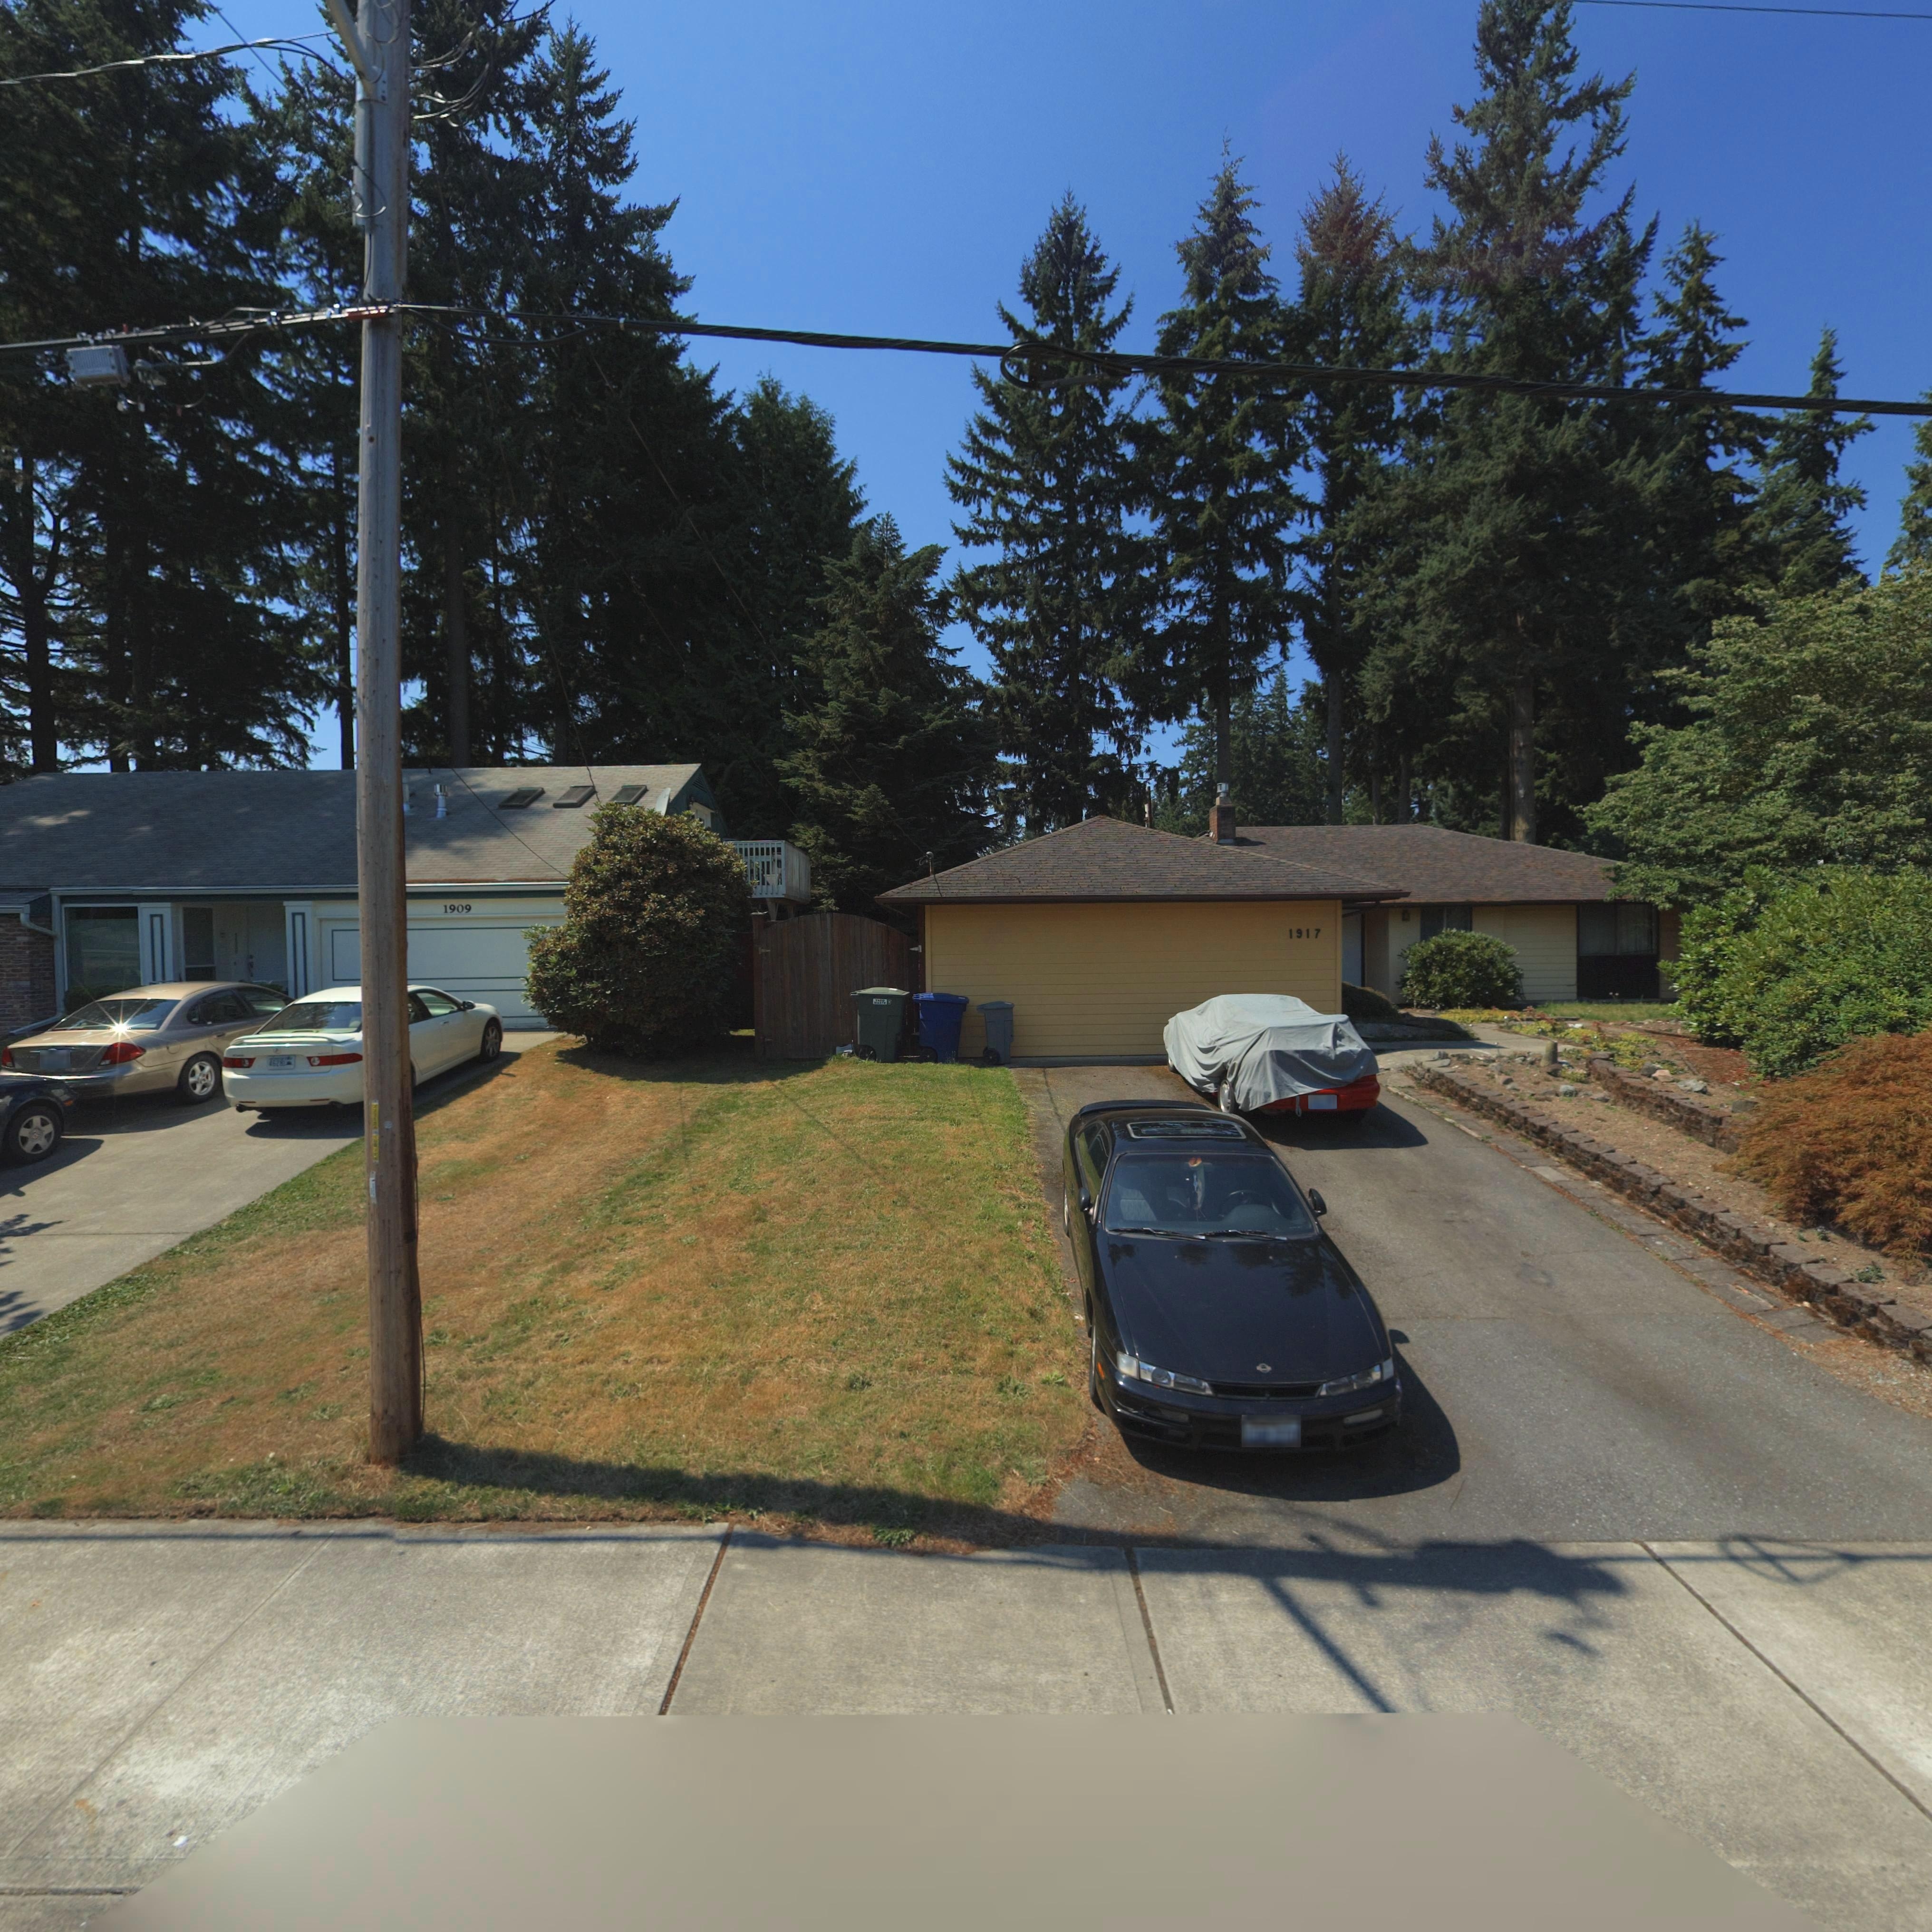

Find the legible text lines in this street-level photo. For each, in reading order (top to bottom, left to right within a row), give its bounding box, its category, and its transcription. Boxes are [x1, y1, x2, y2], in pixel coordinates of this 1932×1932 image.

[436, 898, 476, 920] StreetNumber: 1909
[1288, 927, 1323, 940] StreetNumber: 1917